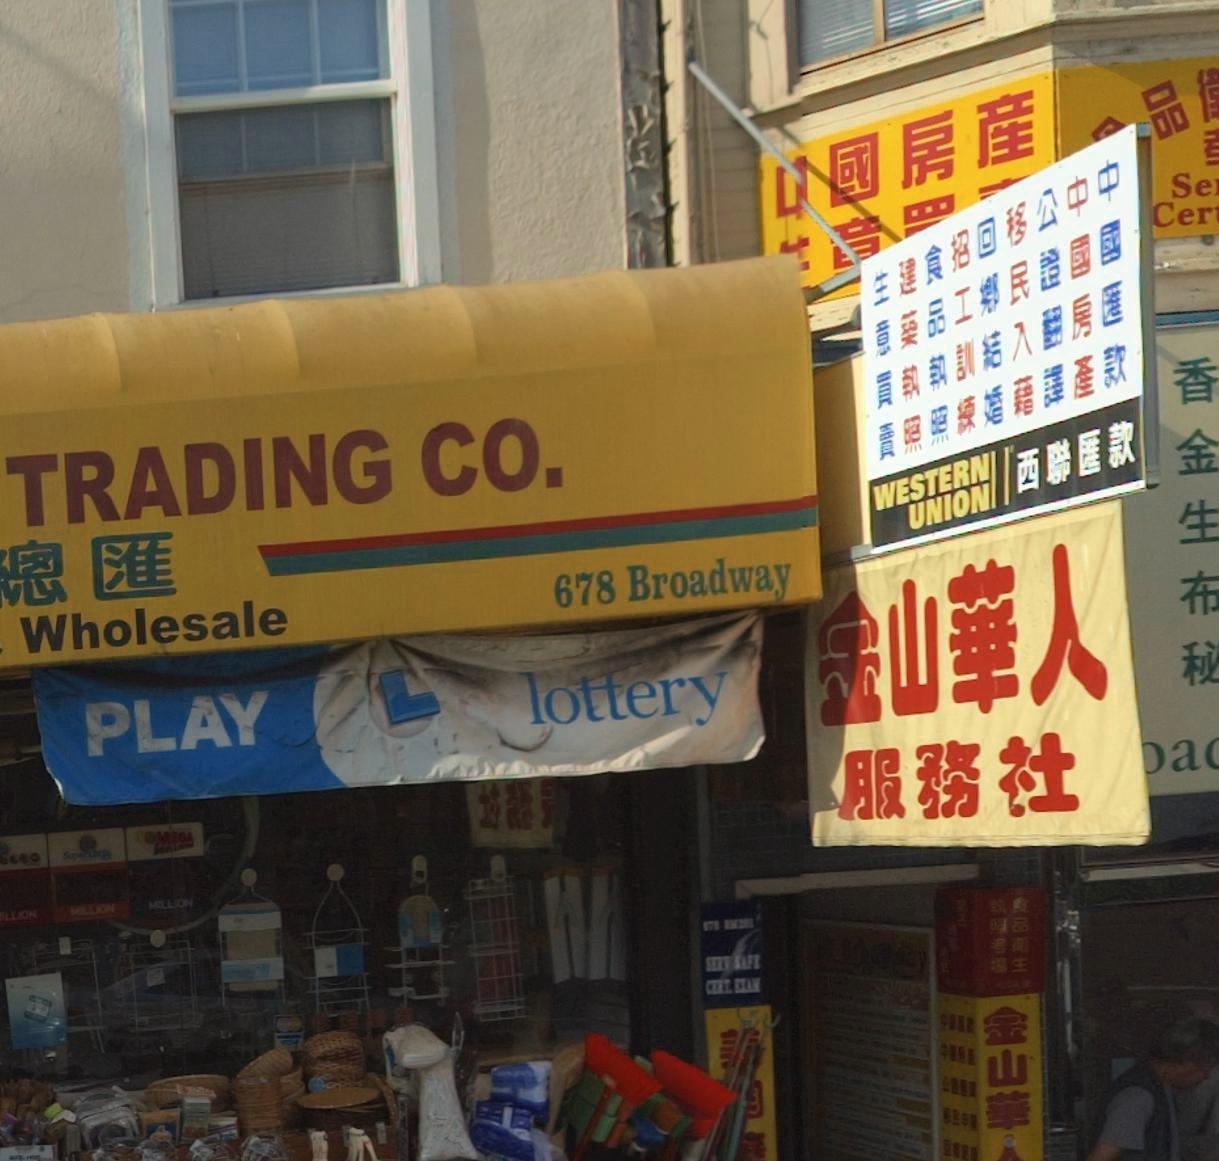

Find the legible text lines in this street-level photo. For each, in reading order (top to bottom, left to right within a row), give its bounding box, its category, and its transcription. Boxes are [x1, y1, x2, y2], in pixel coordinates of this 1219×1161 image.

[4, 415, 567, 530] BusinessName: TRADING CO.
[871, 450, 990, 513] BusinessName: WESTERN
[907, 480, 991, 533] BusinessName: UNION
[553, 568, 617, 610] StreetNumber: 678
[626, 558, 792, 602] StreetName: Broadway
[17, 598, 289, 656] None: Wholesale
[82, 686, 272, 760] None: PLAY
[519, 669, 727, 728] None: lottery
[1167, 736, 1204, 776] None: a
[4, 908, 38, 922] None: LLION
[68, 901, 116, 918] None: MILLION
[146, 895, 193, 913] None: MILLION